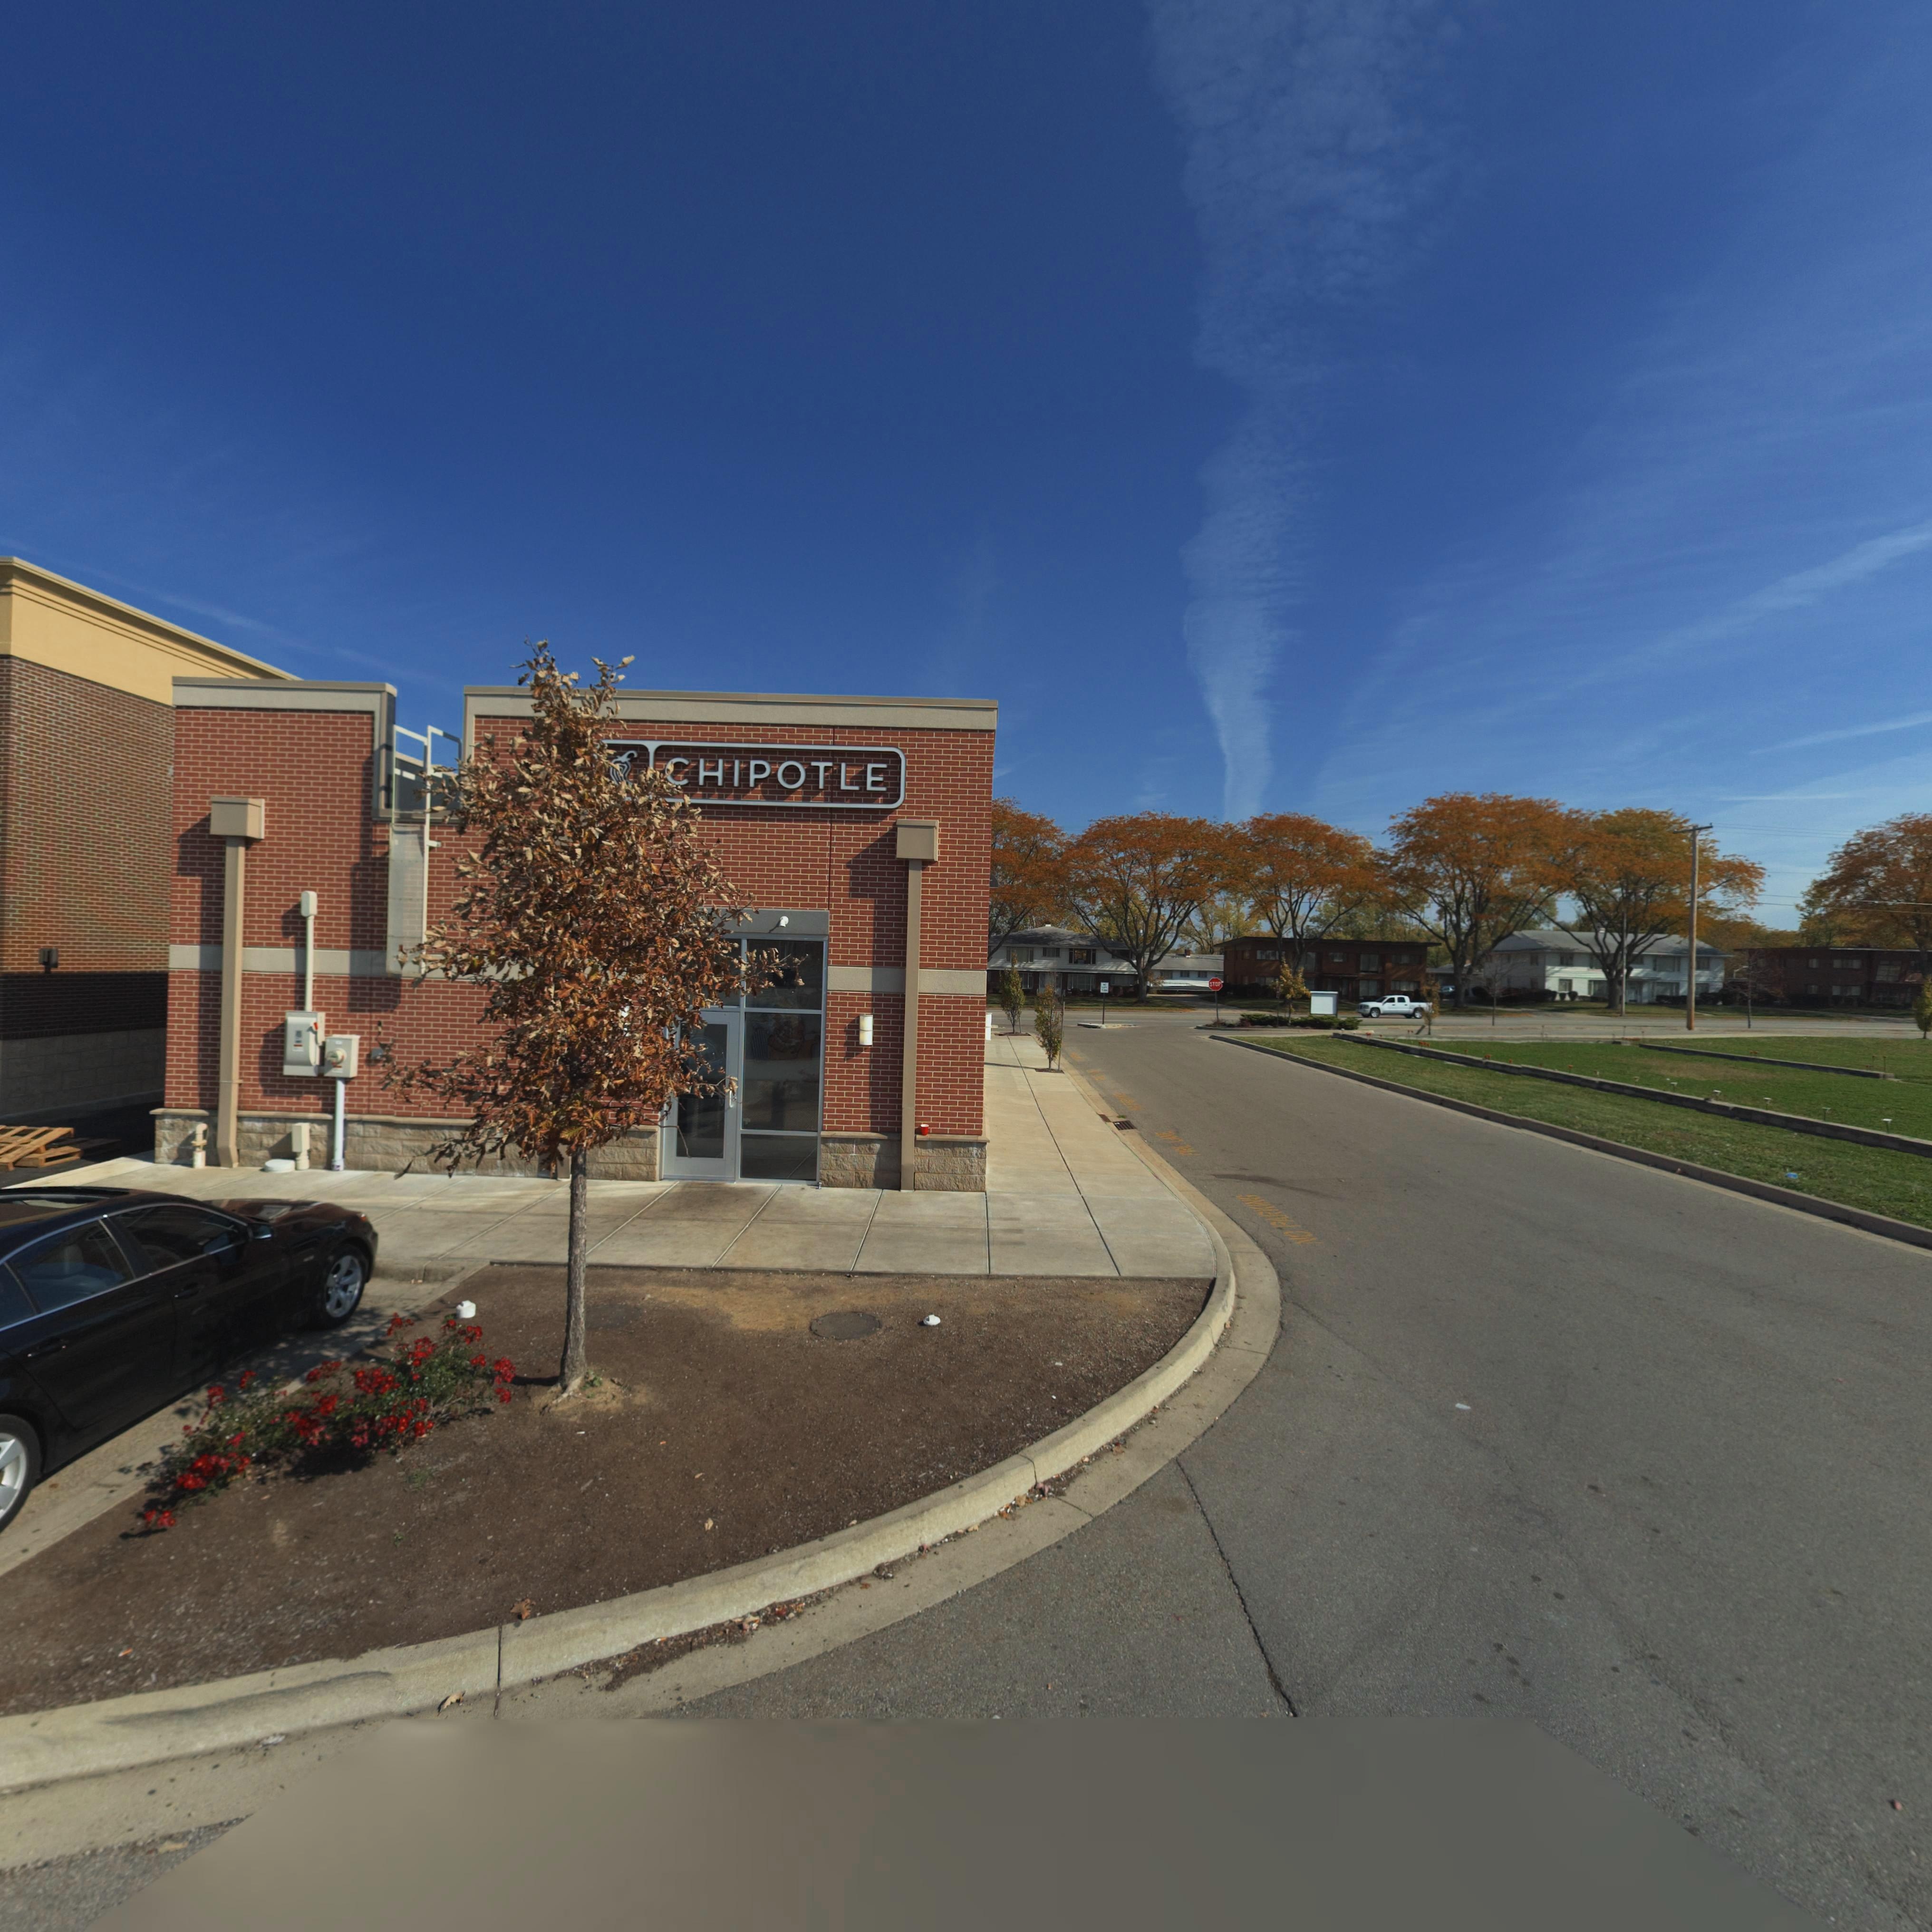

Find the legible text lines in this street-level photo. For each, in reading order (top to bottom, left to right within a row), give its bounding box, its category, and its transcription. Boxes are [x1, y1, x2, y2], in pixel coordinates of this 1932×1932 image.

[663, 755, 888, 793] BusinessName: CHIPOTLE
[1208, 981, 1222, 987] None: STOP